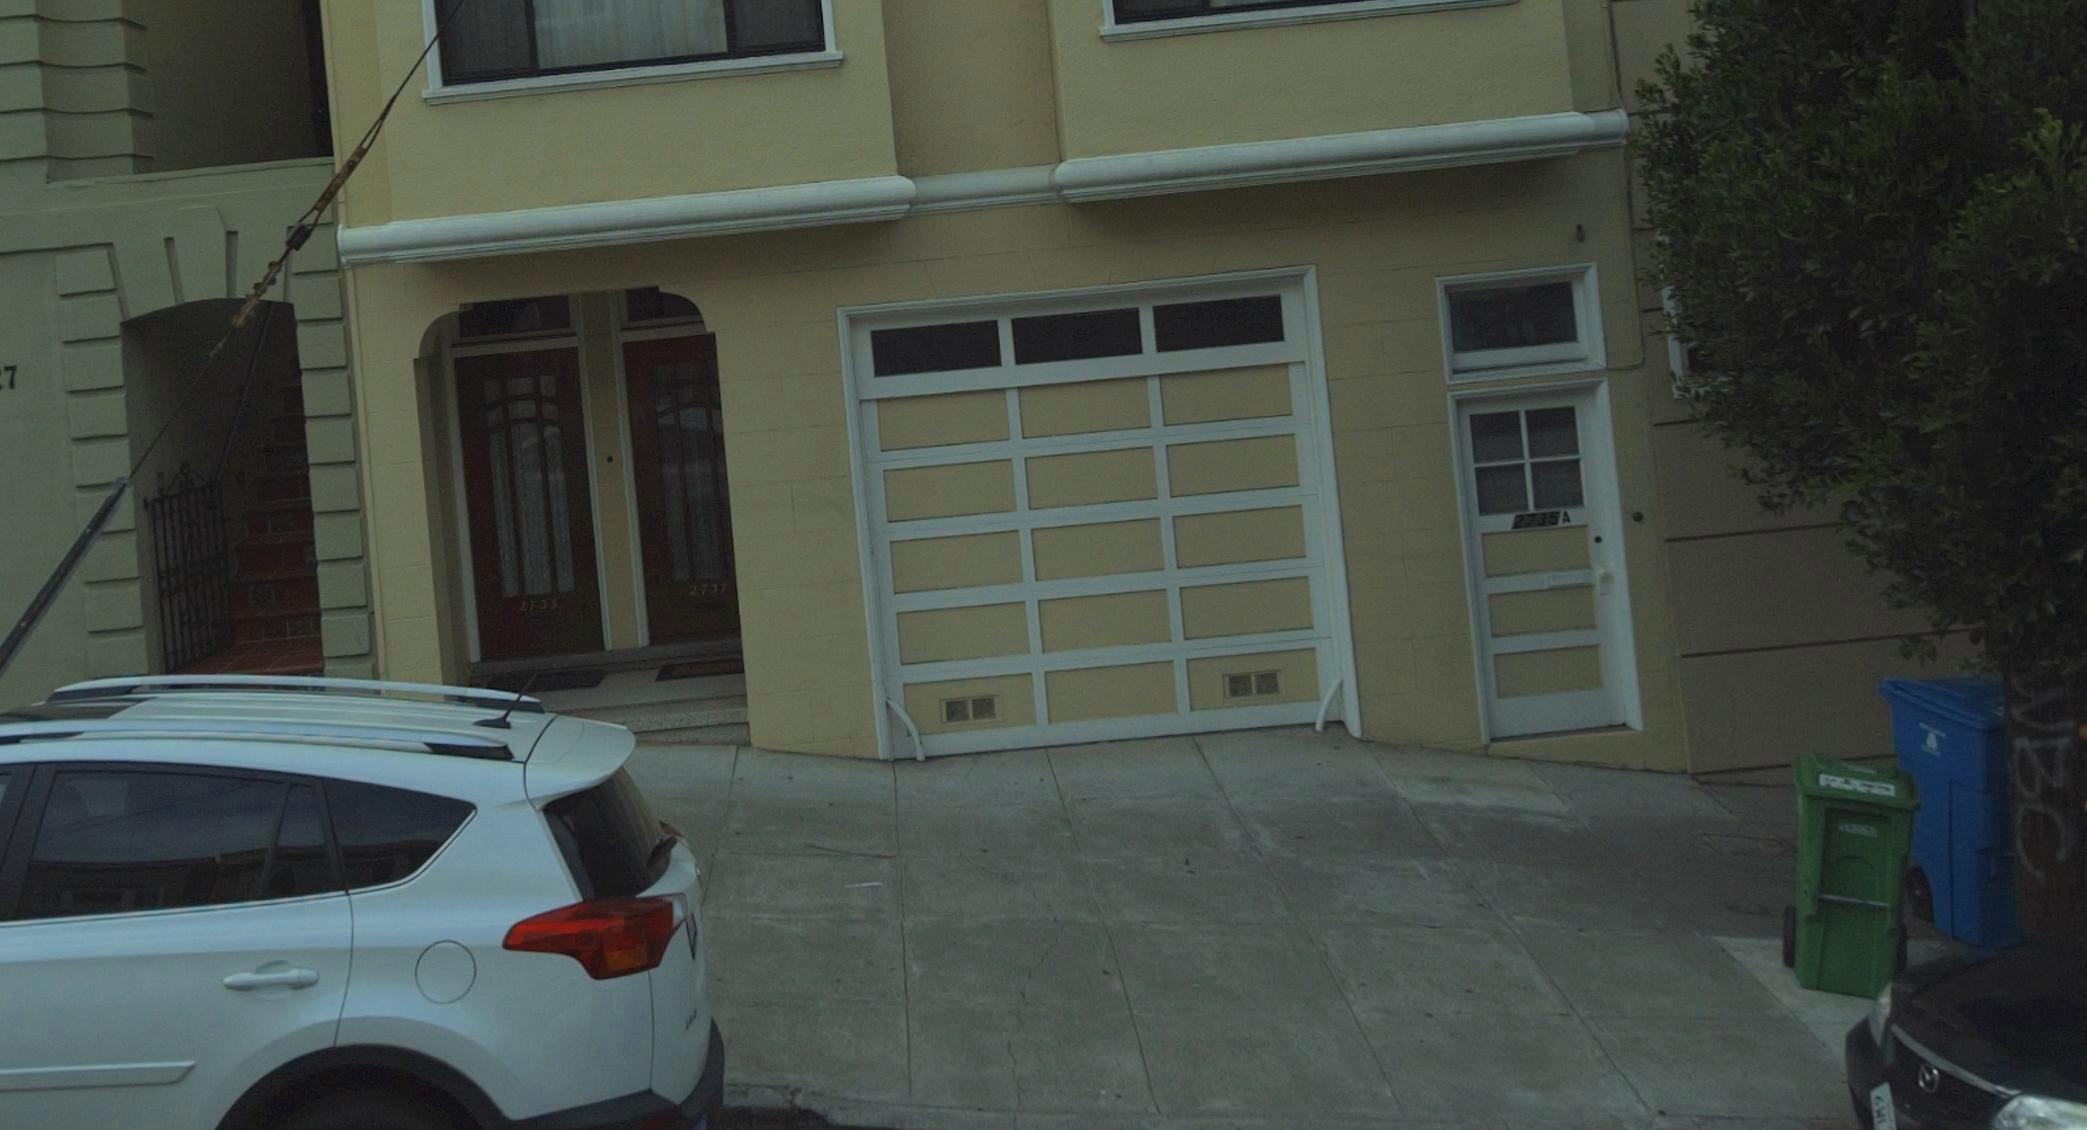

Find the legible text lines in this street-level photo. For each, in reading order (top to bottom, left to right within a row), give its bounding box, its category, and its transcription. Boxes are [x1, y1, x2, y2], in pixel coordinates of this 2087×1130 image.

[0, 362, 20, 394] None: 7
[1511, 506, 1575, 532] StreetNumber: 2735 A
[687, 580, 730, 598] None: 2737
[516, 595, 561, 615] StreetNumber: 2735